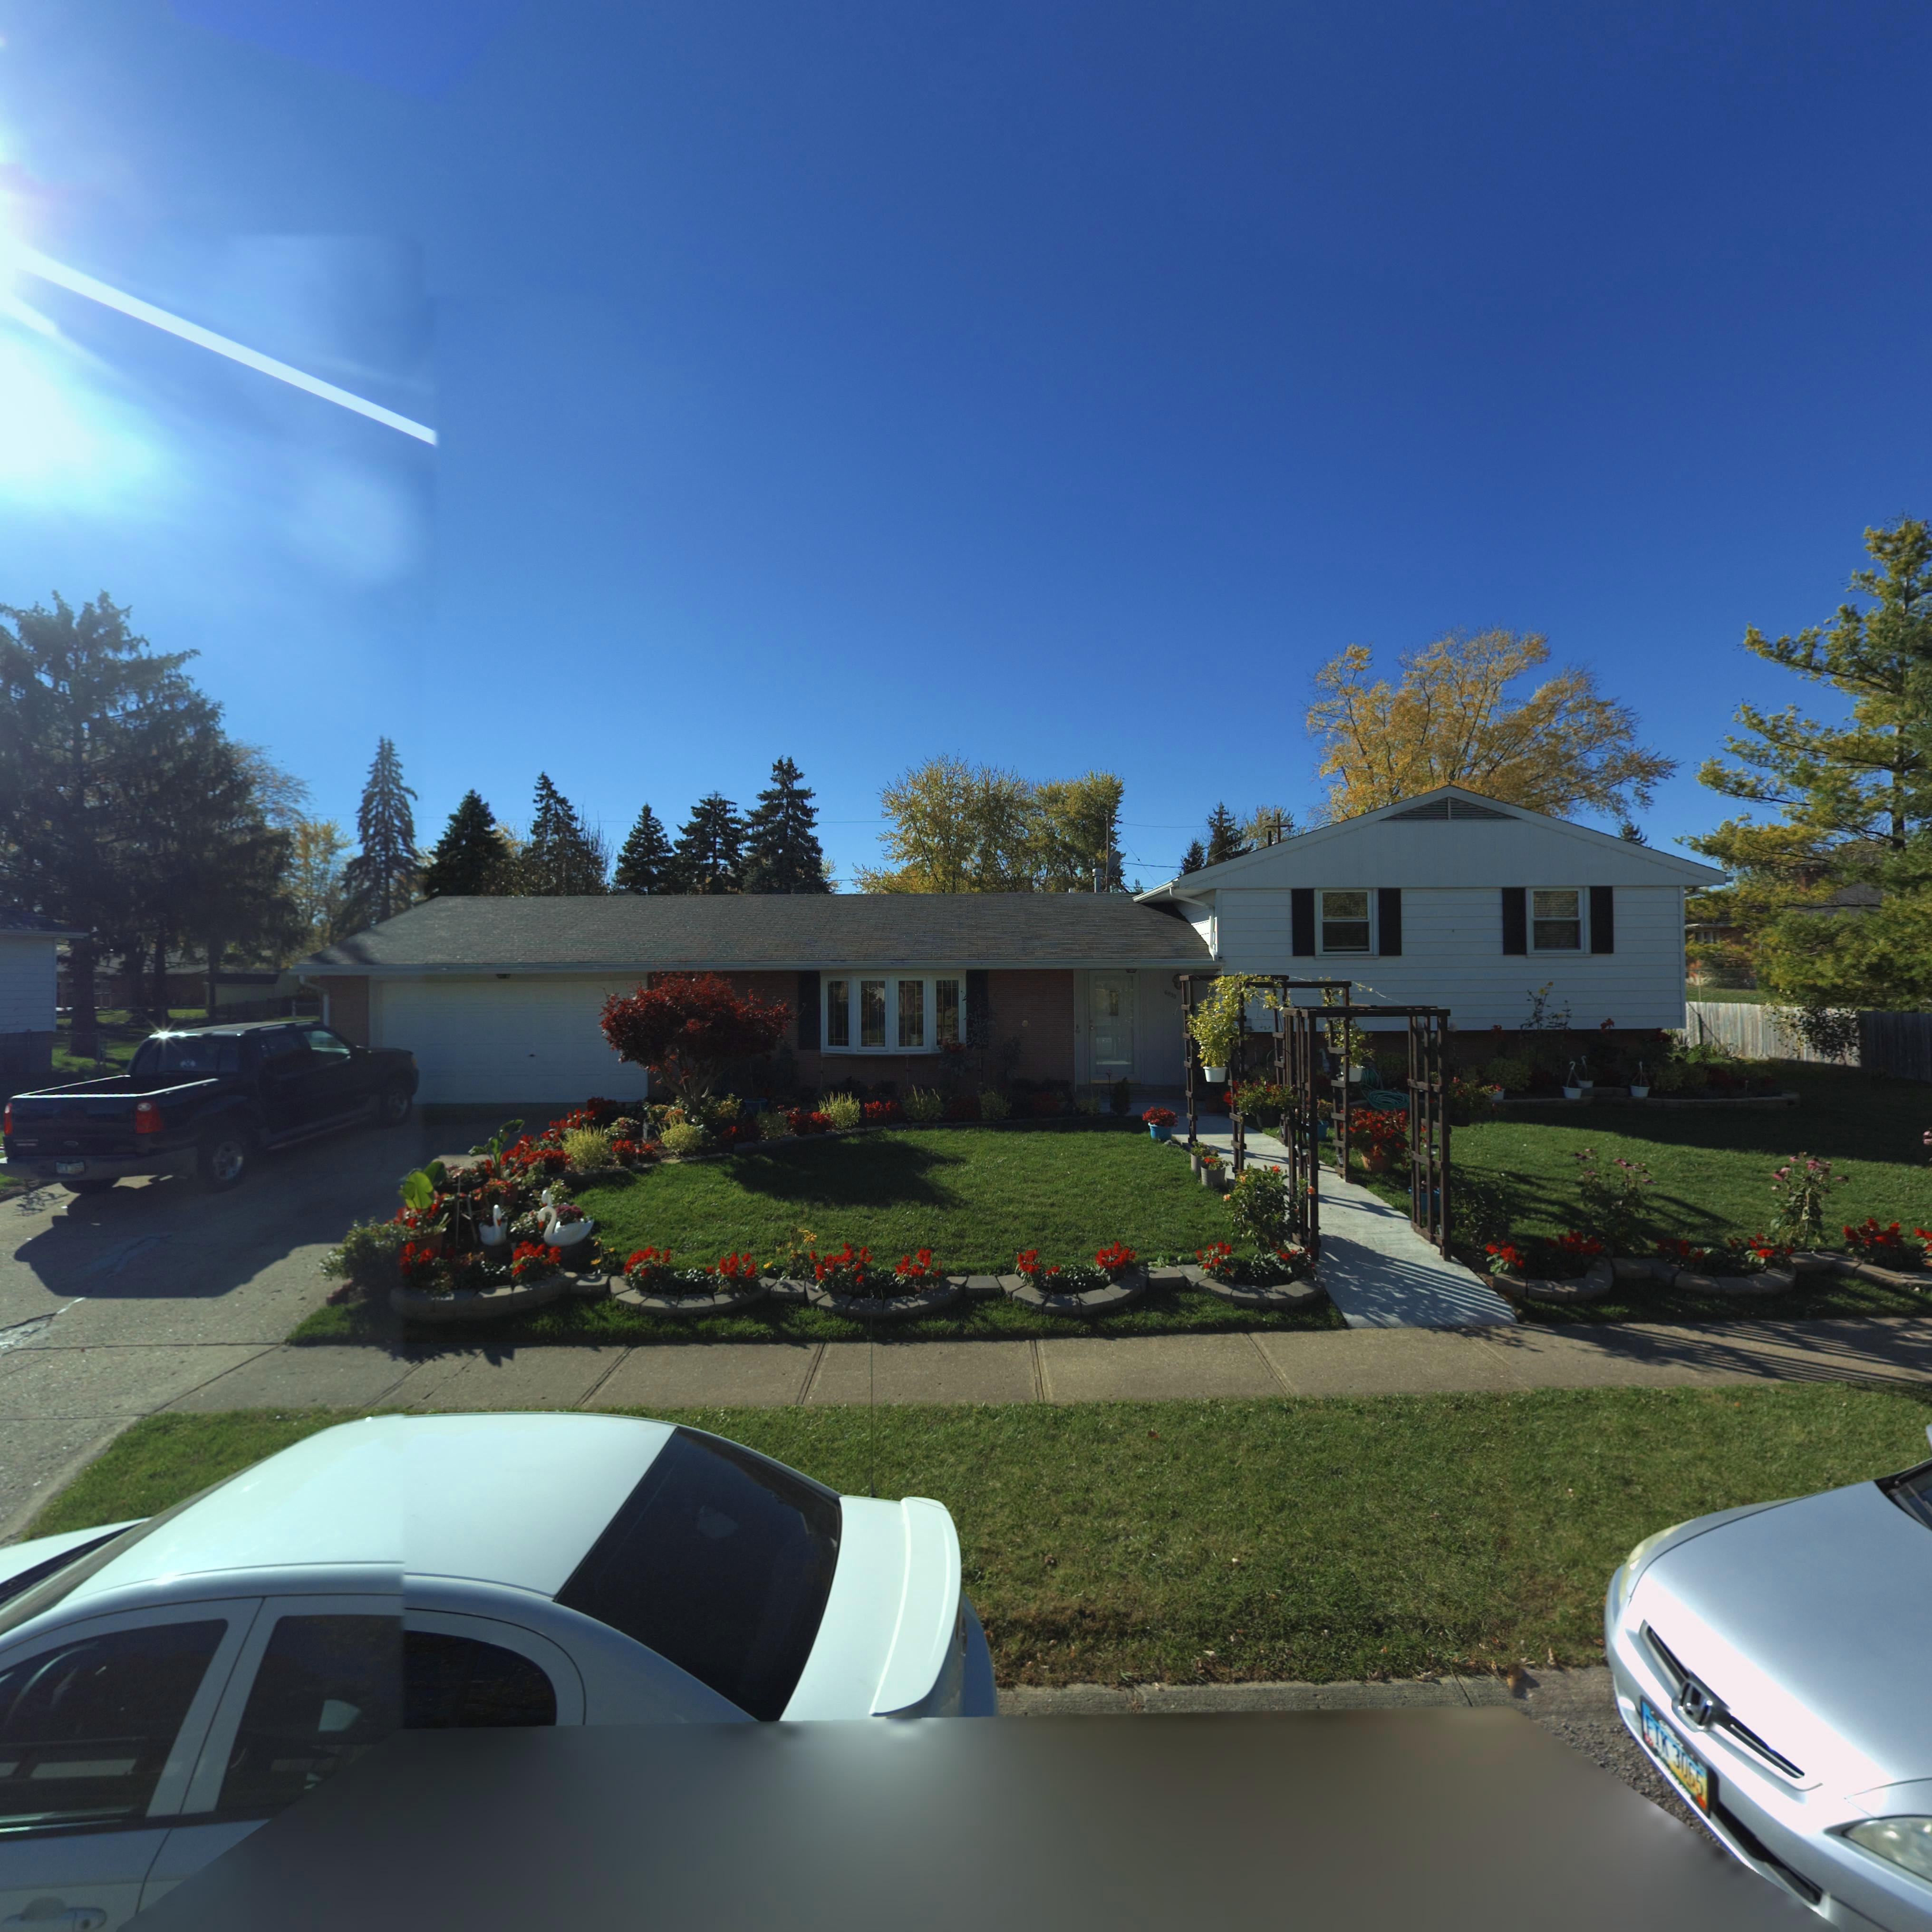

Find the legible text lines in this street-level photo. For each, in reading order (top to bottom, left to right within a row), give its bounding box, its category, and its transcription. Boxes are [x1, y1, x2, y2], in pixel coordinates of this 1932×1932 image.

[1163, 989, 1177, 1000] StreetNumber: 6833
[1645, 1711, 1707, 1801] None: FIK*3065